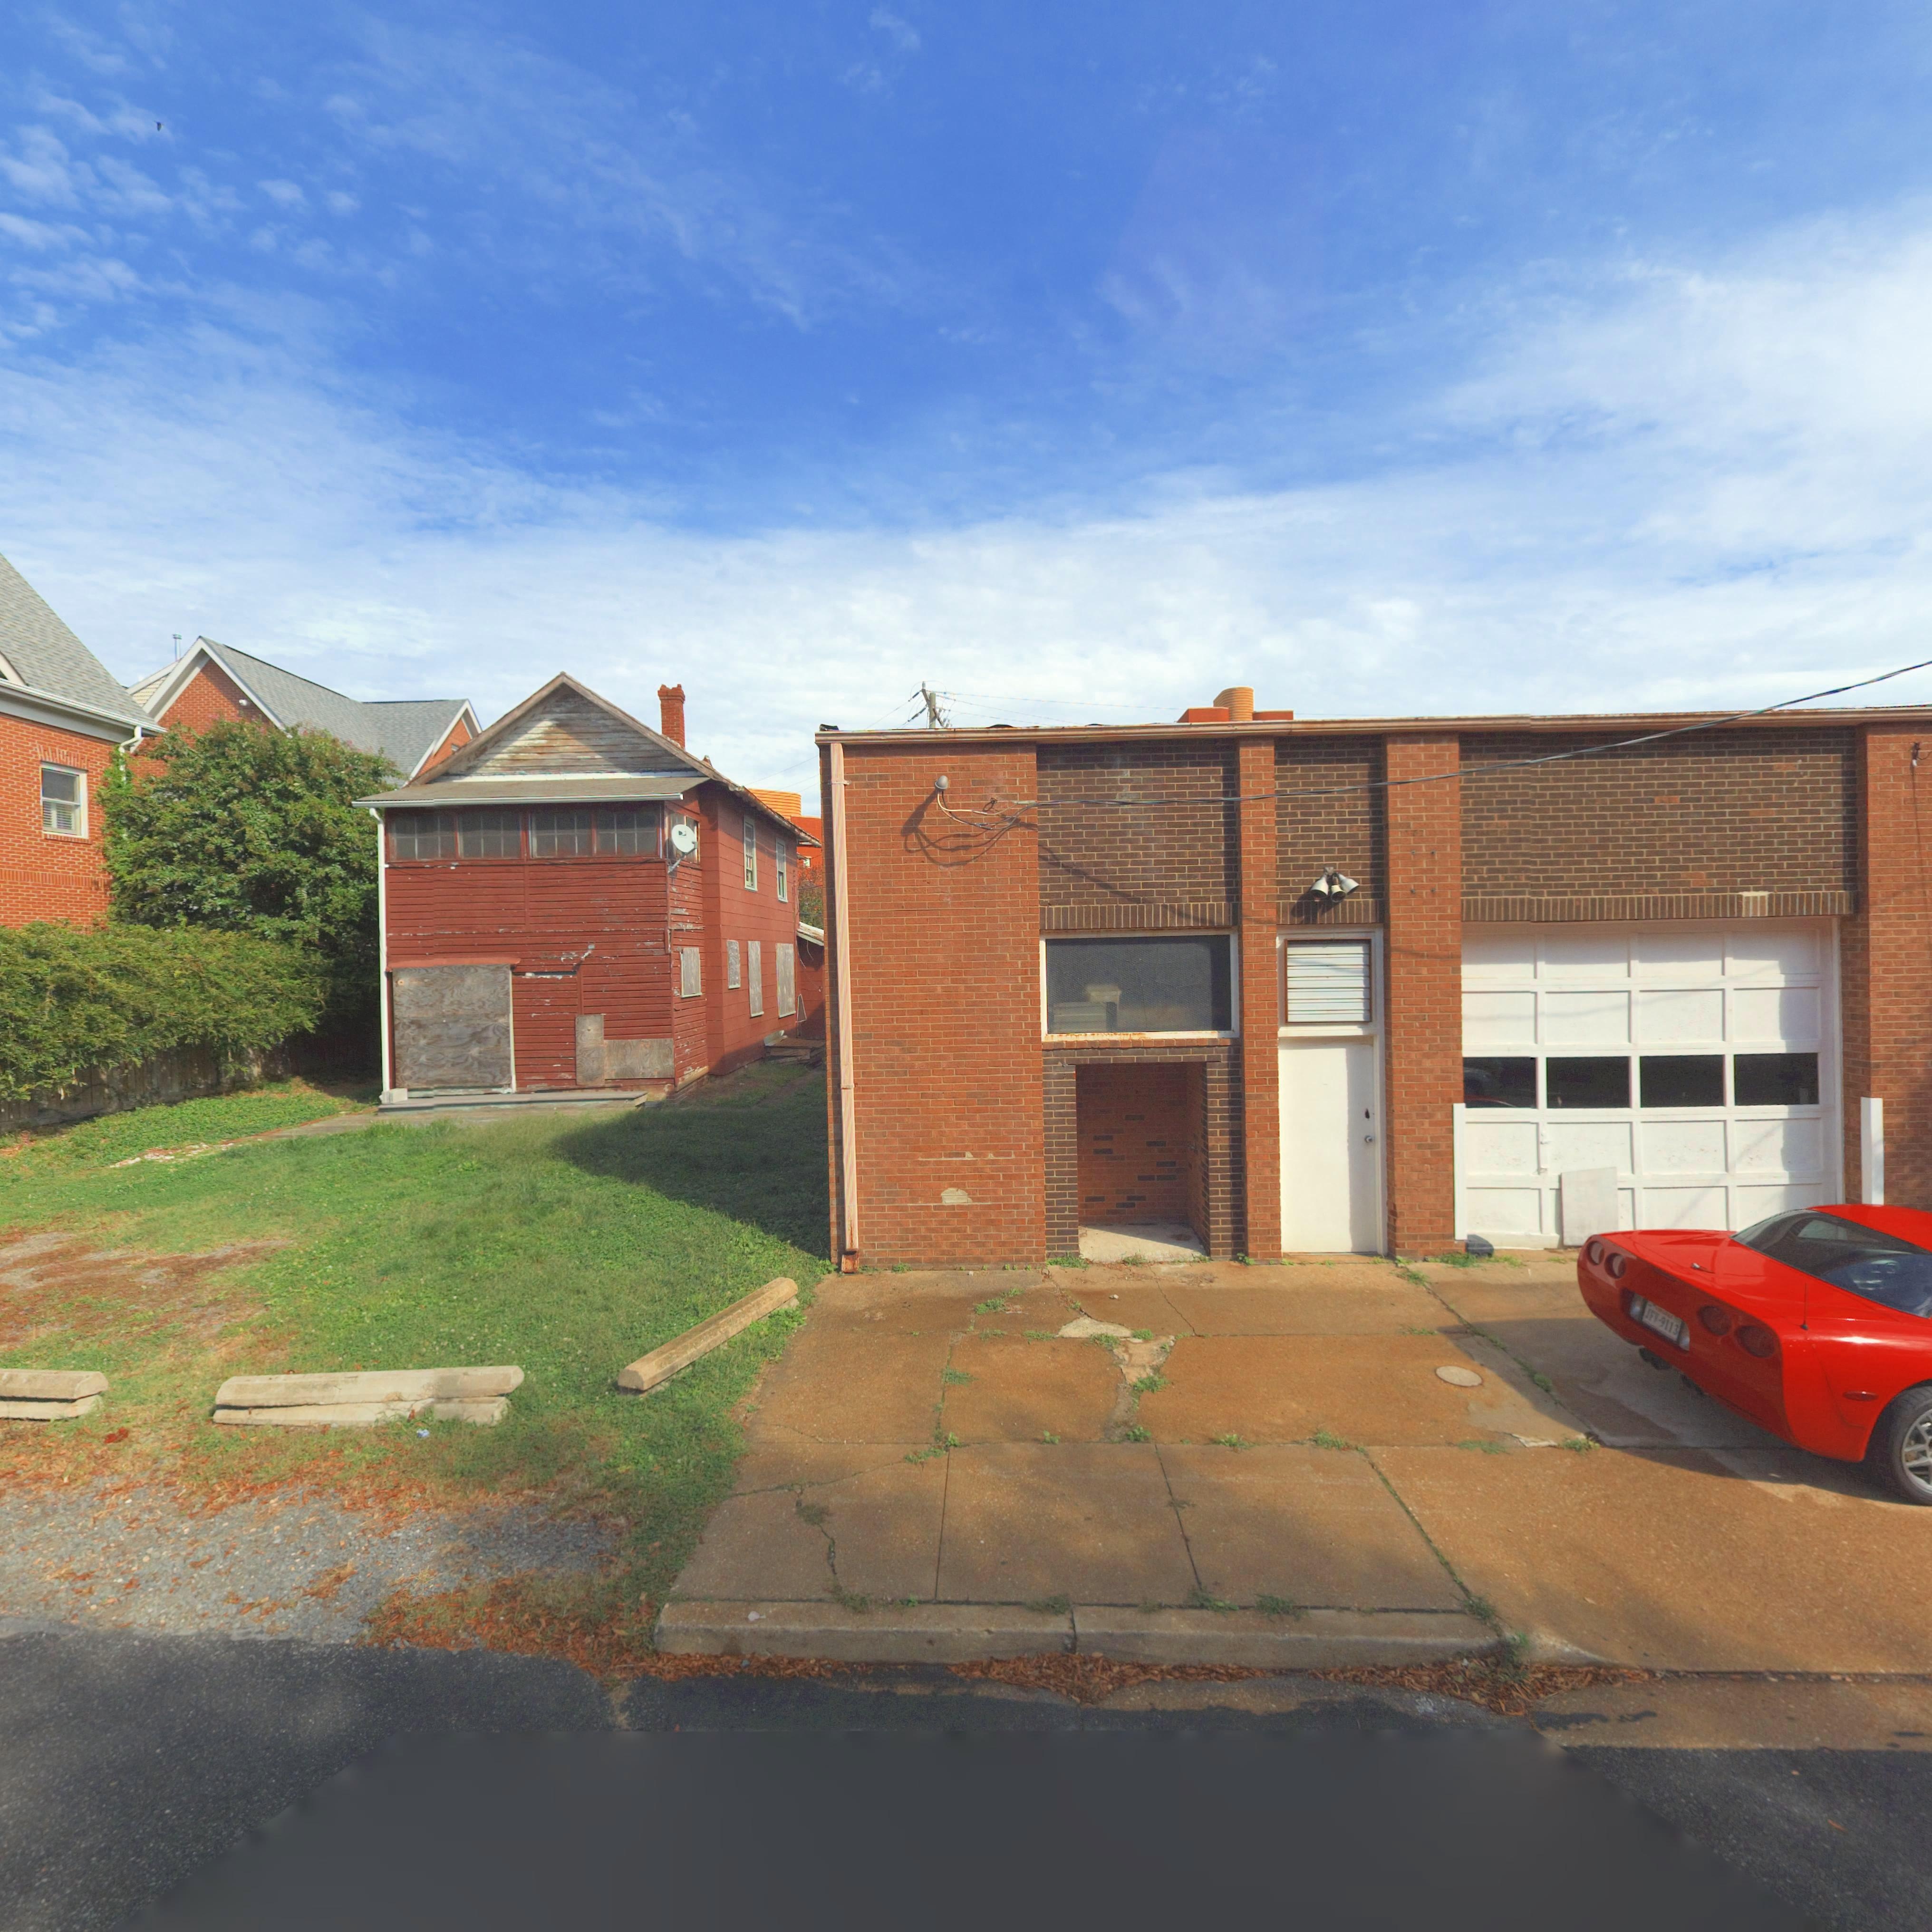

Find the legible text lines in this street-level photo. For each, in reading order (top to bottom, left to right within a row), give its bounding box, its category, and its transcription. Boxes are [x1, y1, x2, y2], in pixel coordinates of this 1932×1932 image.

[1659, 1314, 1680, 1337] None: 9113